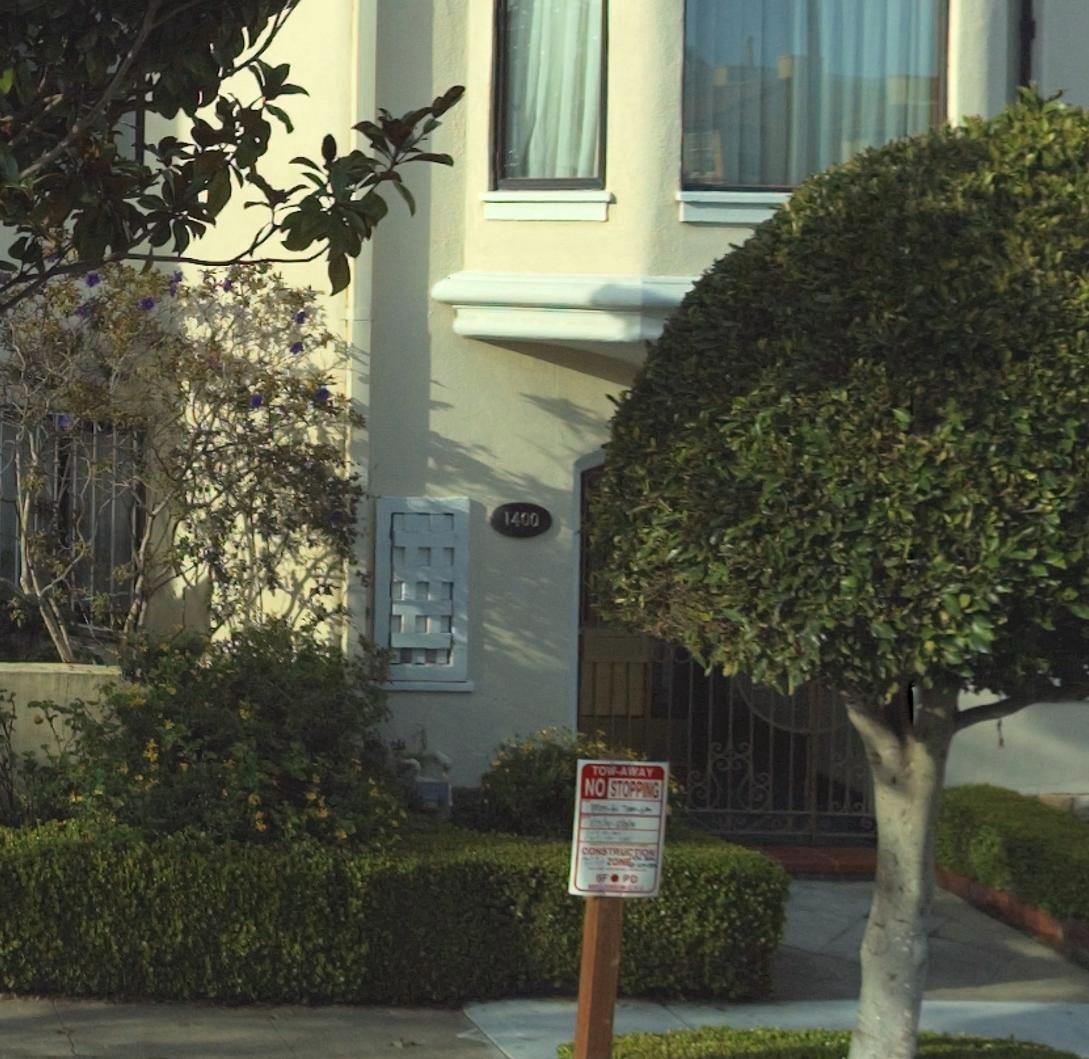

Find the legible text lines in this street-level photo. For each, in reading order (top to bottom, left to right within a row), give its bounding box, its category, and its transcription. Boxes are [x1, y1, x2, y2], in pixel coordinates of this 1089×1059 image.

[503, 510, 541, 529] StreetNumber: 1400
[591, 764, 655, 780] None: TOW-AWAY
[582, 775, 662, 801] None: NO STOPPING
[578, 844, 657, 860] None: CONSTRUCTION
[620, 871, 641, 886] None: PD